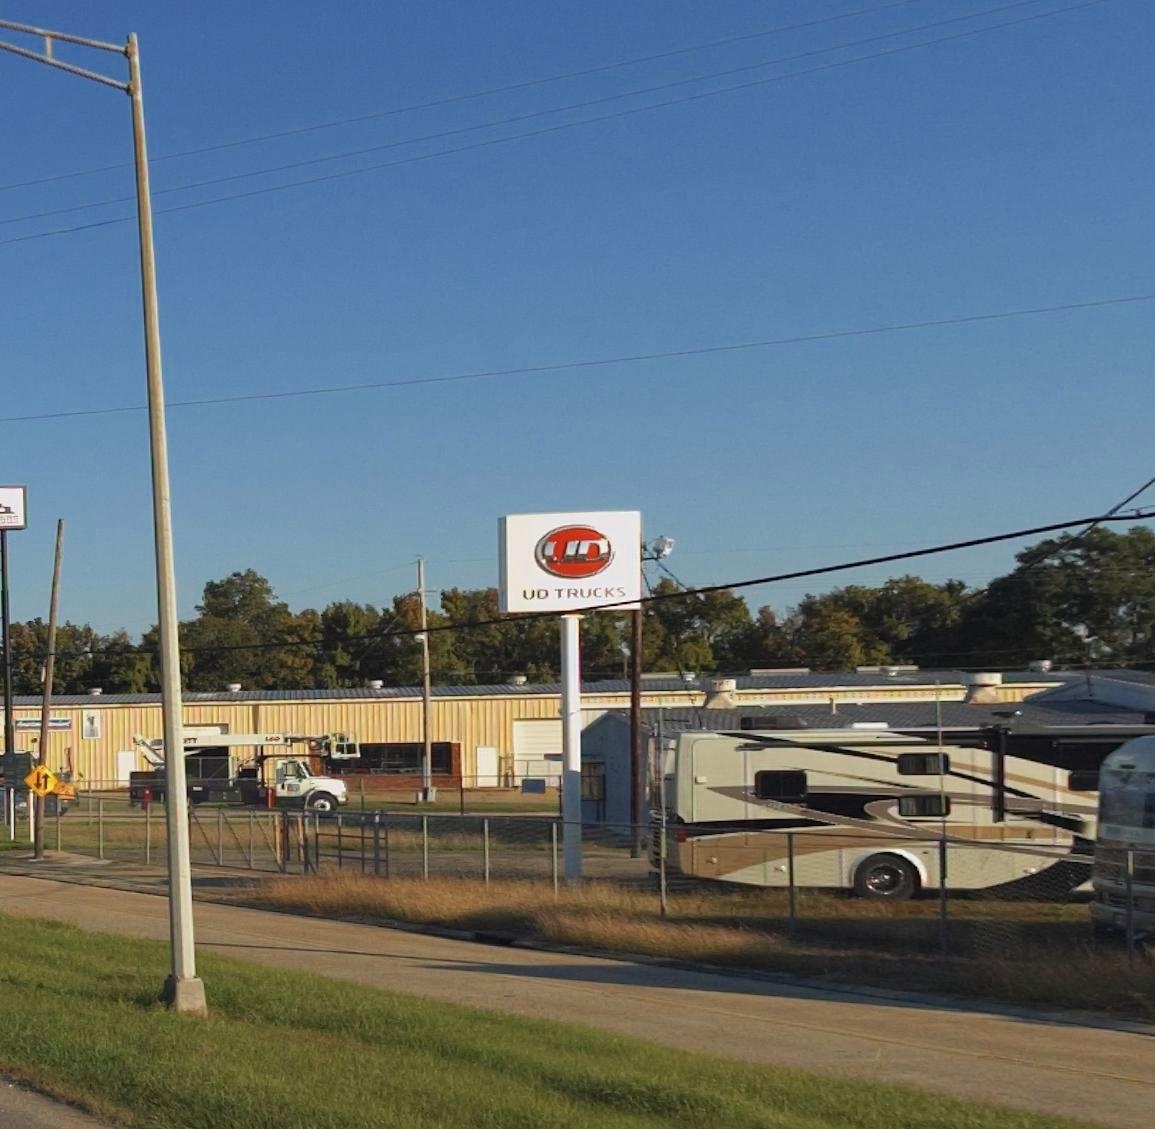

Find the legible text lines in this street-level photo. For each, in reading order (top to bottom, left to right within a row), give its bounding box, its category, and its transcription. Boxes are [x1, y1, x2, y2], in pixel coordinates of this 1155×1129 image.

[537, 536, 615, 567] None: UD
[520, 584, 628, 602] BusinessName: UD TRUCKS
[185, 735, 200, 747] None: TT